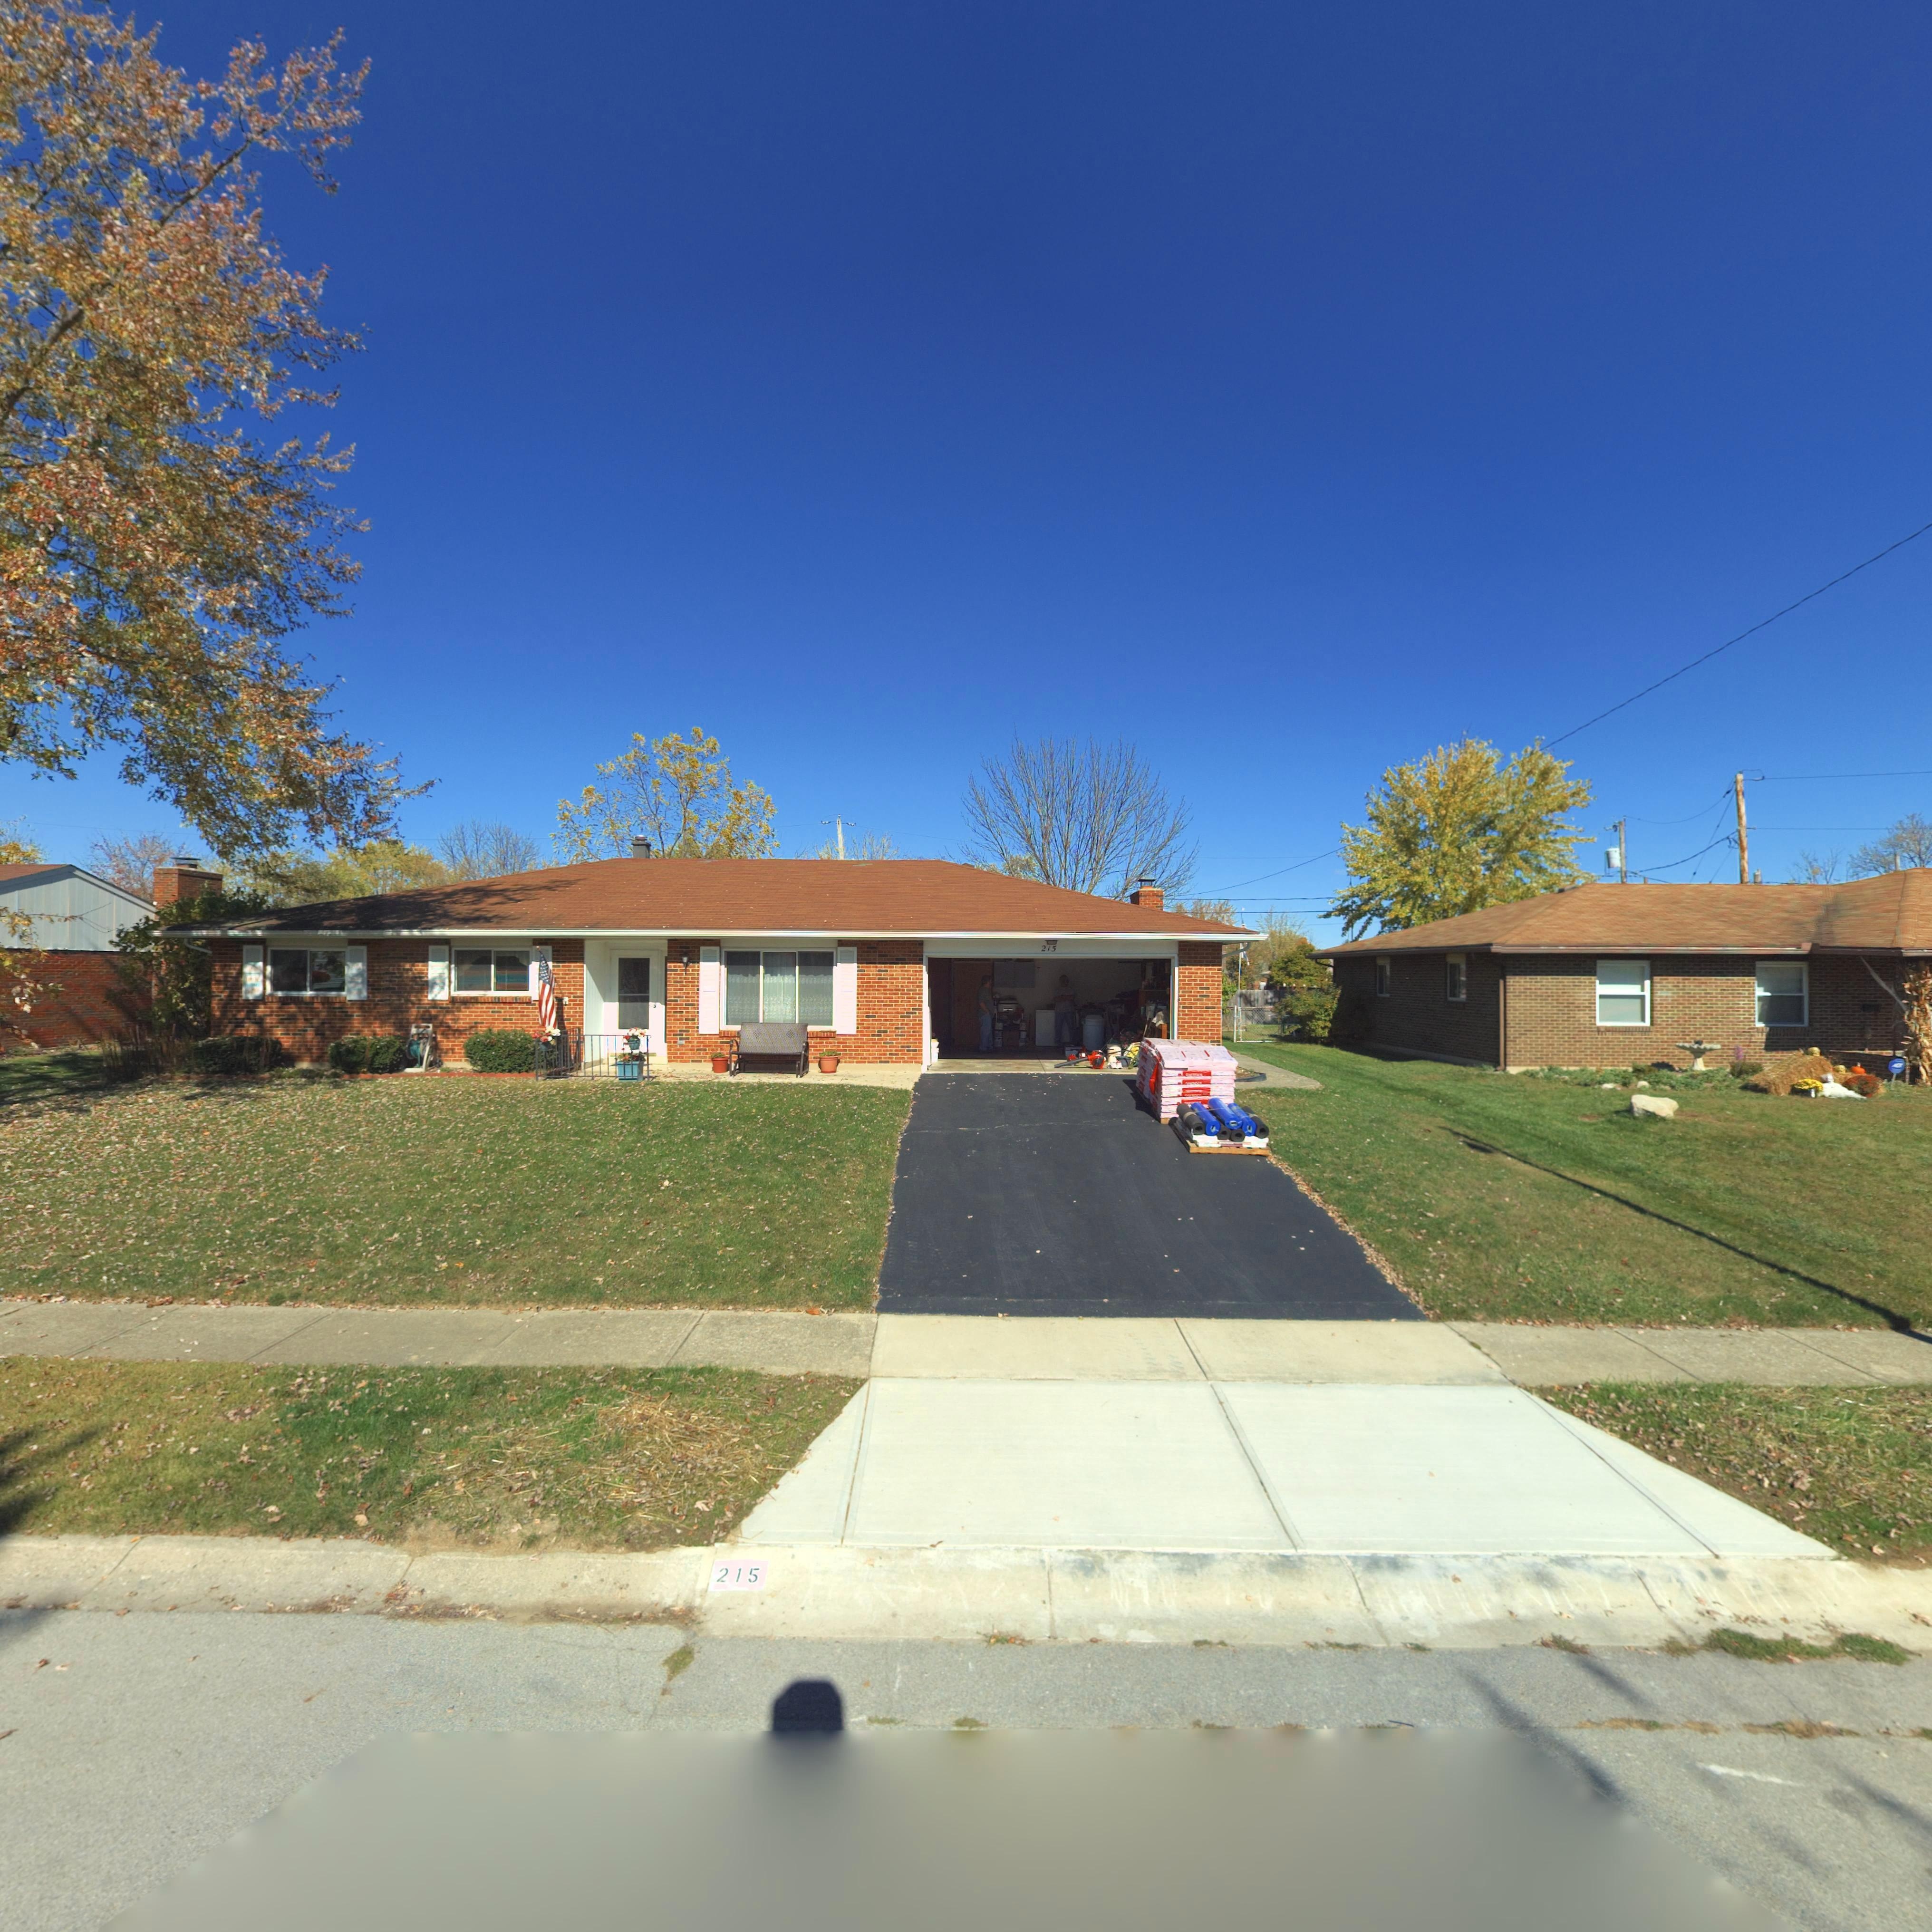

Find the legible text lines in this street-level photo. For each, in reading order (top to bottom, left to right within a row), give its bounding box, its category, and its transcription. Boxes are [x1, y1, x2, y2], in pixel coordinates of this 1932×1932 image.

[1041, 945, 1057, 952] StreetNumber: 215
[716, 1566, 761, 1584] StreetNumber: 215